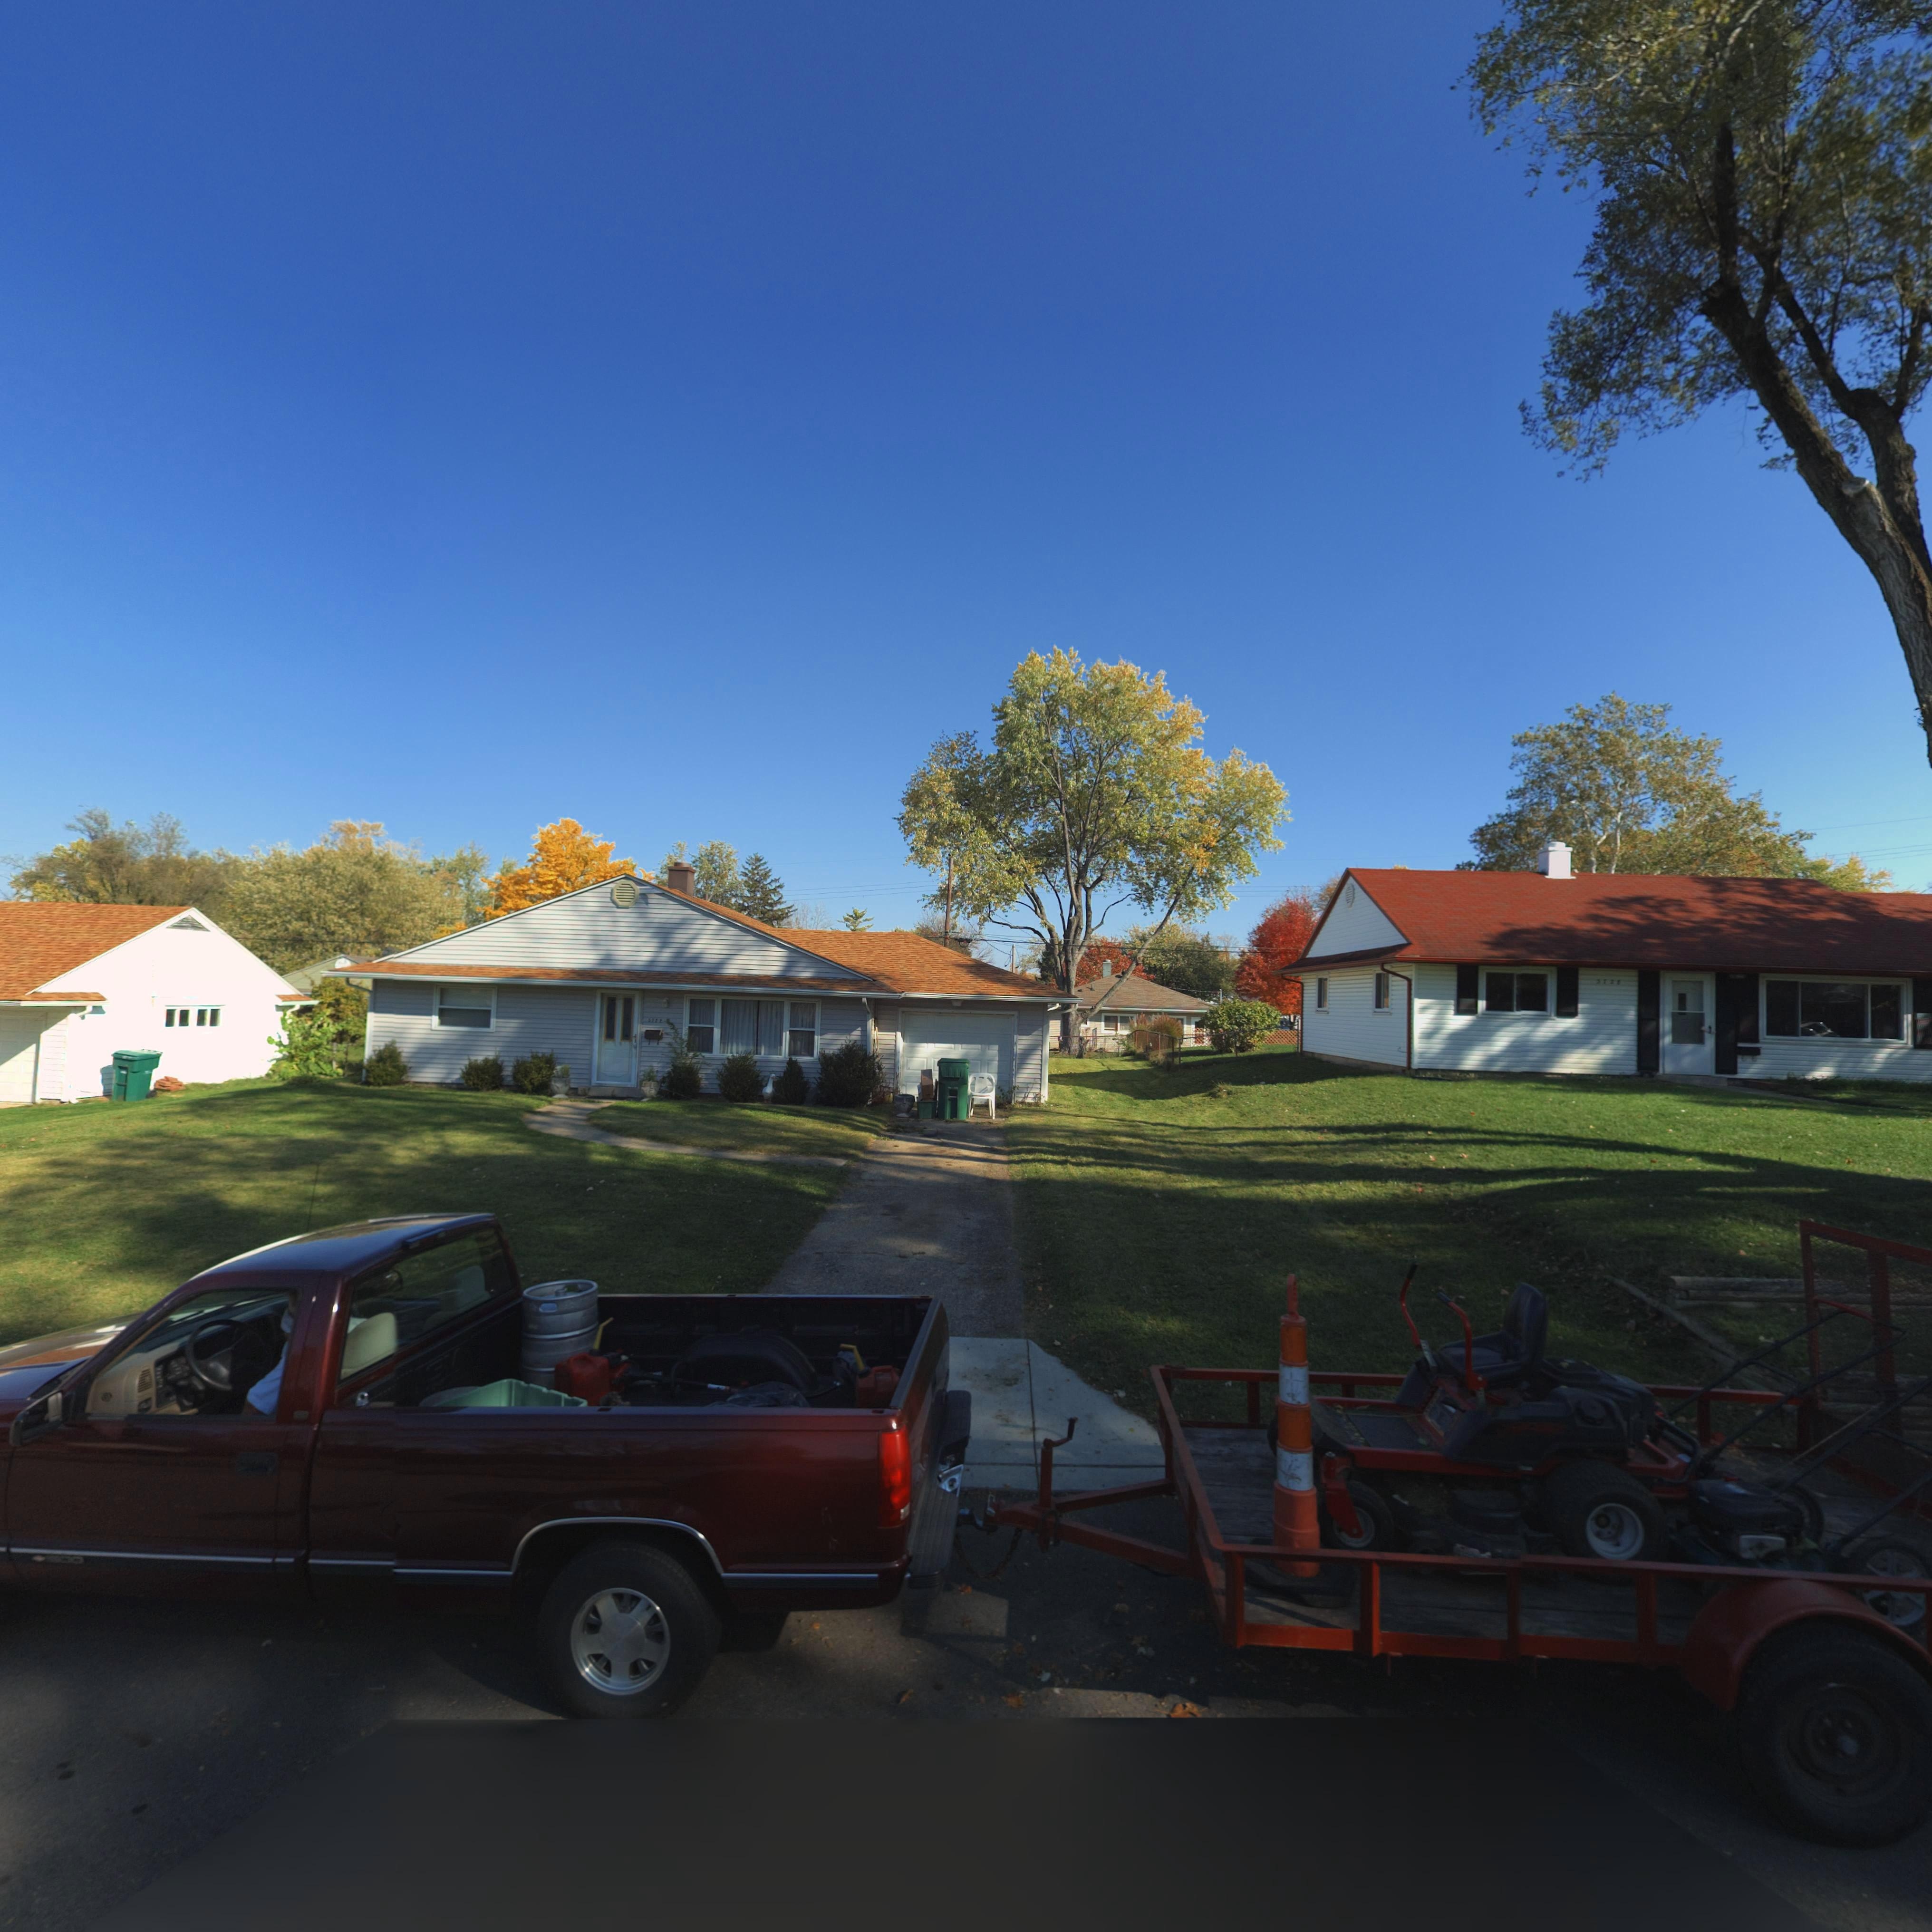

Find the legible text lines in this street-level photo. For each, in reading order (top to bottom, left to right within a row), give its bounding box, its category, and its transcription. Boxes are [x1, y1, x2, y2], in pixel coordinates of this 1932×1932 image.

[647, 1017, 663, 1024] StreetNumber: 3722